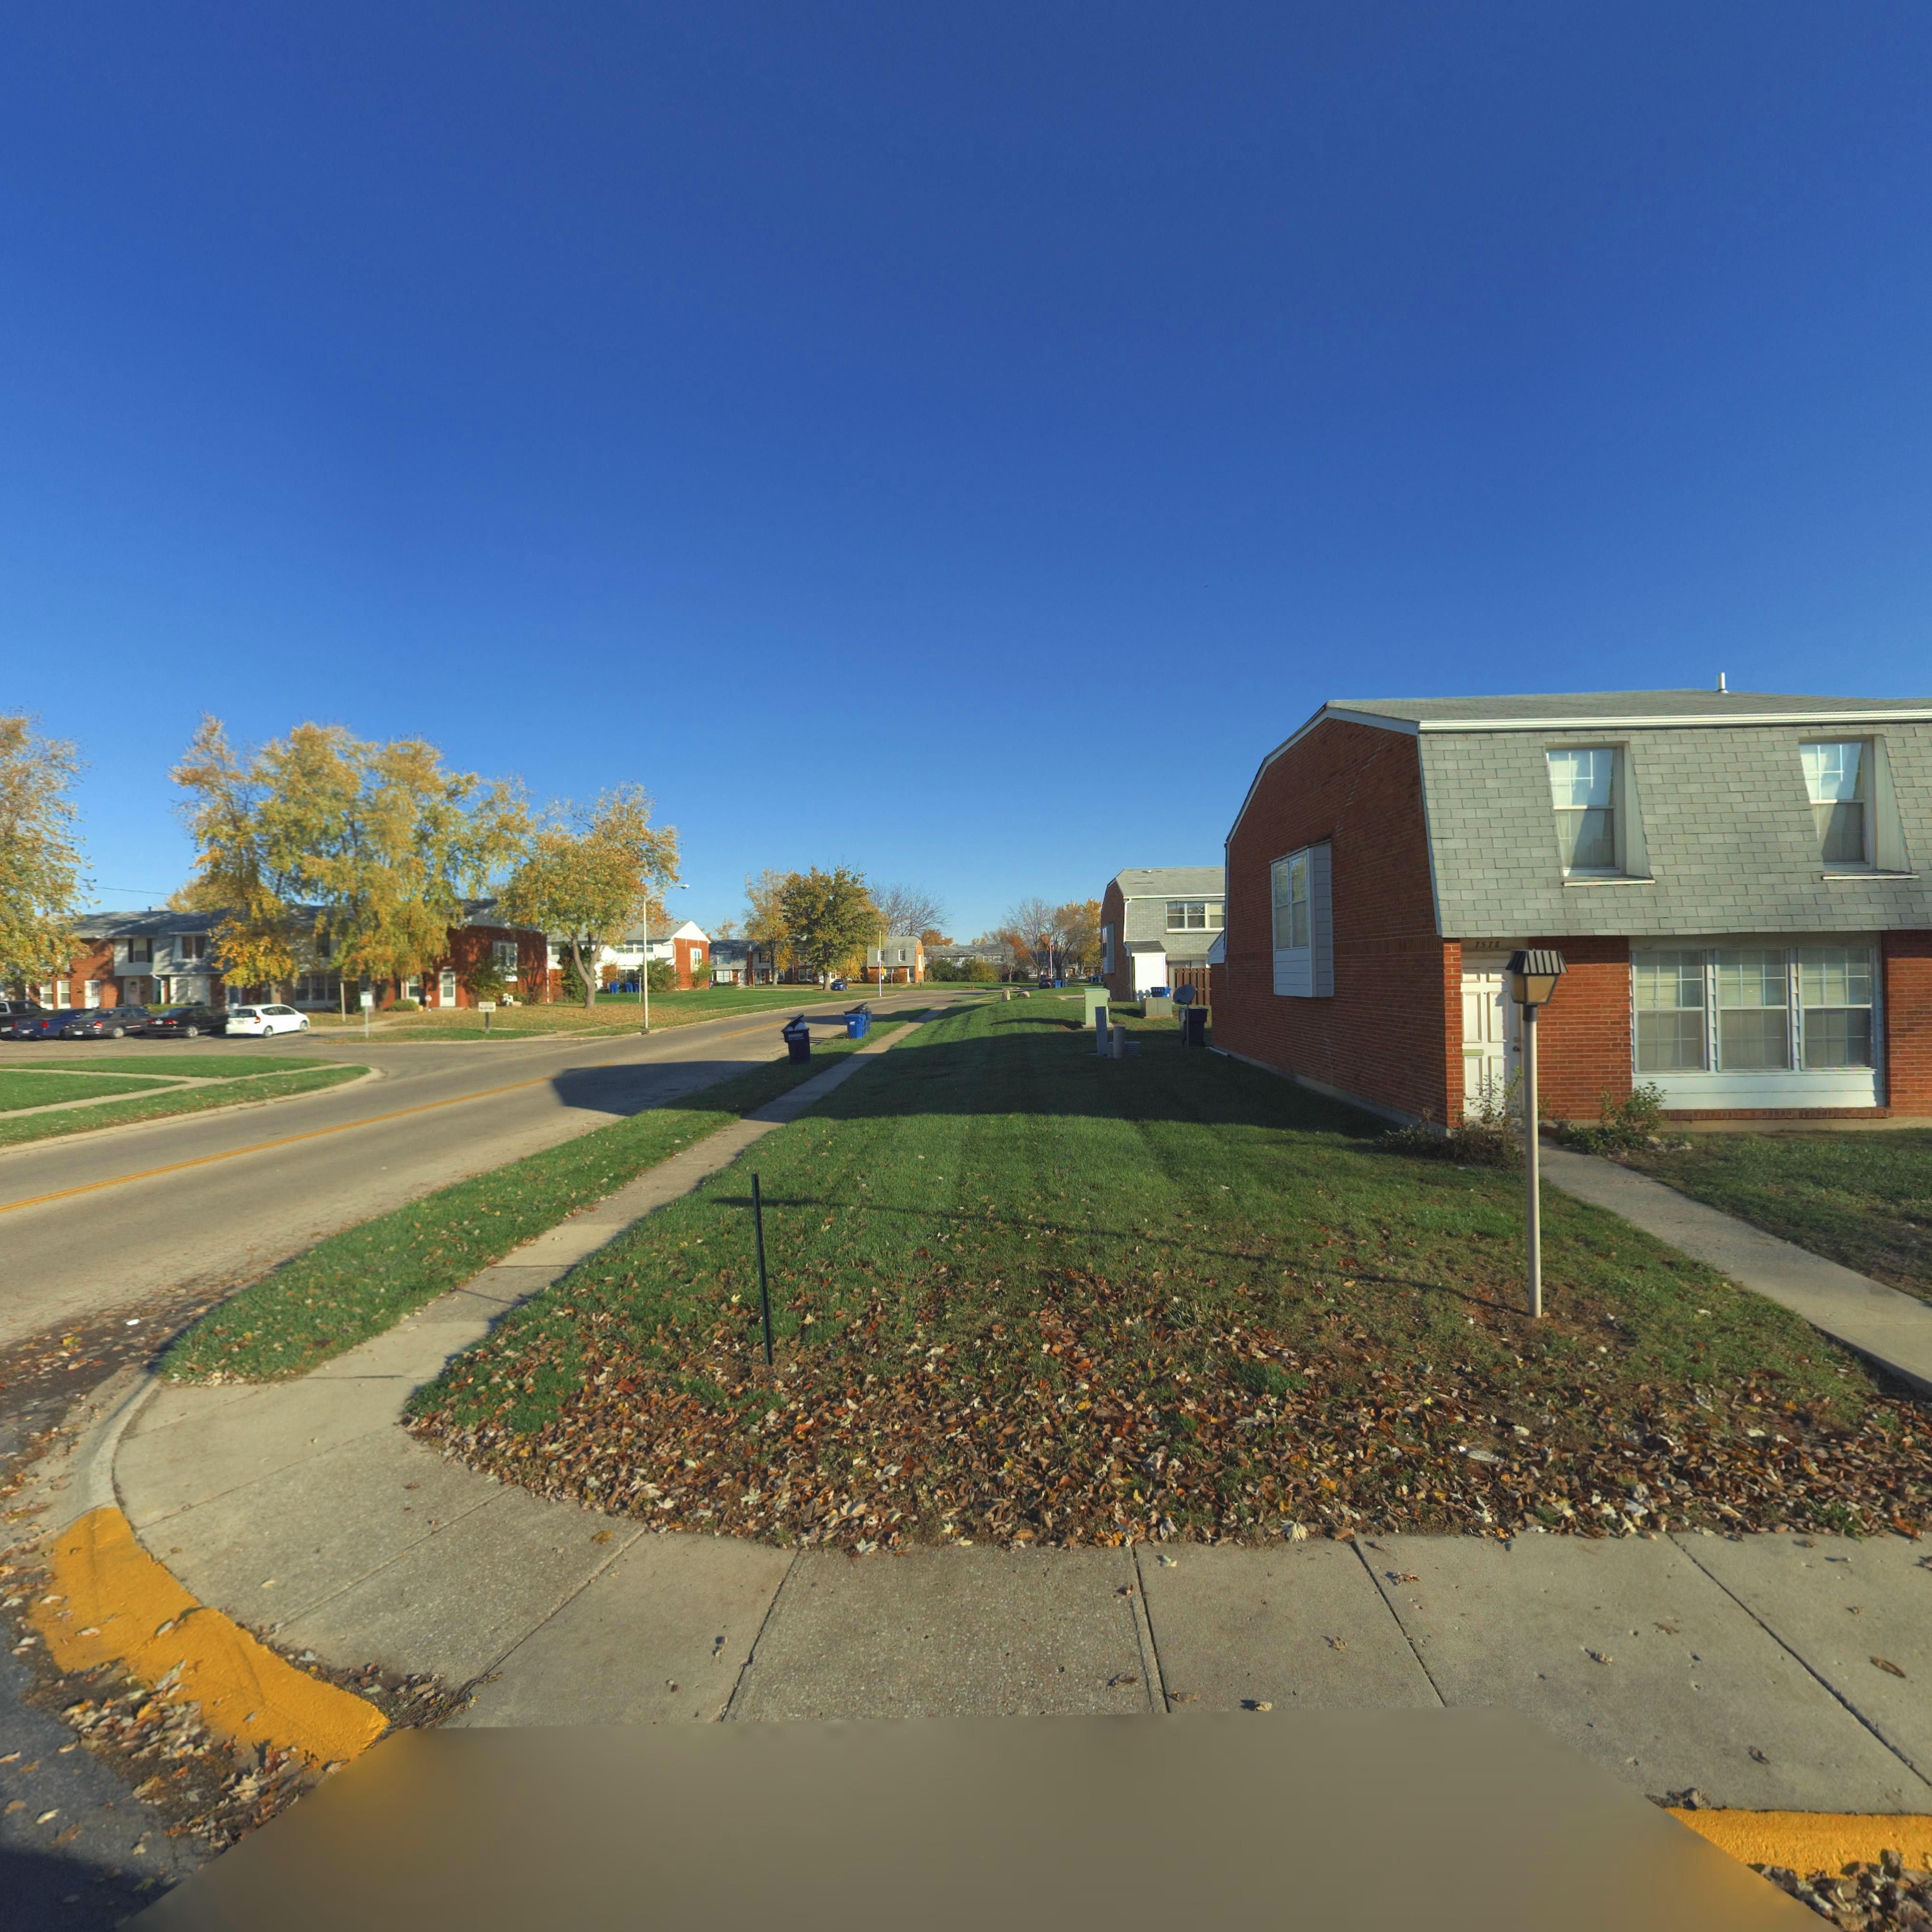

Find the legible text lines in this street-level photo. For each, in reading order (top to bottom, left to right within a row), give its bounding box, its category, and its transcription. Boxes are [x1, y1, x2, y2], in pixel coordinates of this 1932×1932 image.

[1474, 940, 1501, 948] StreetNumber: 7578